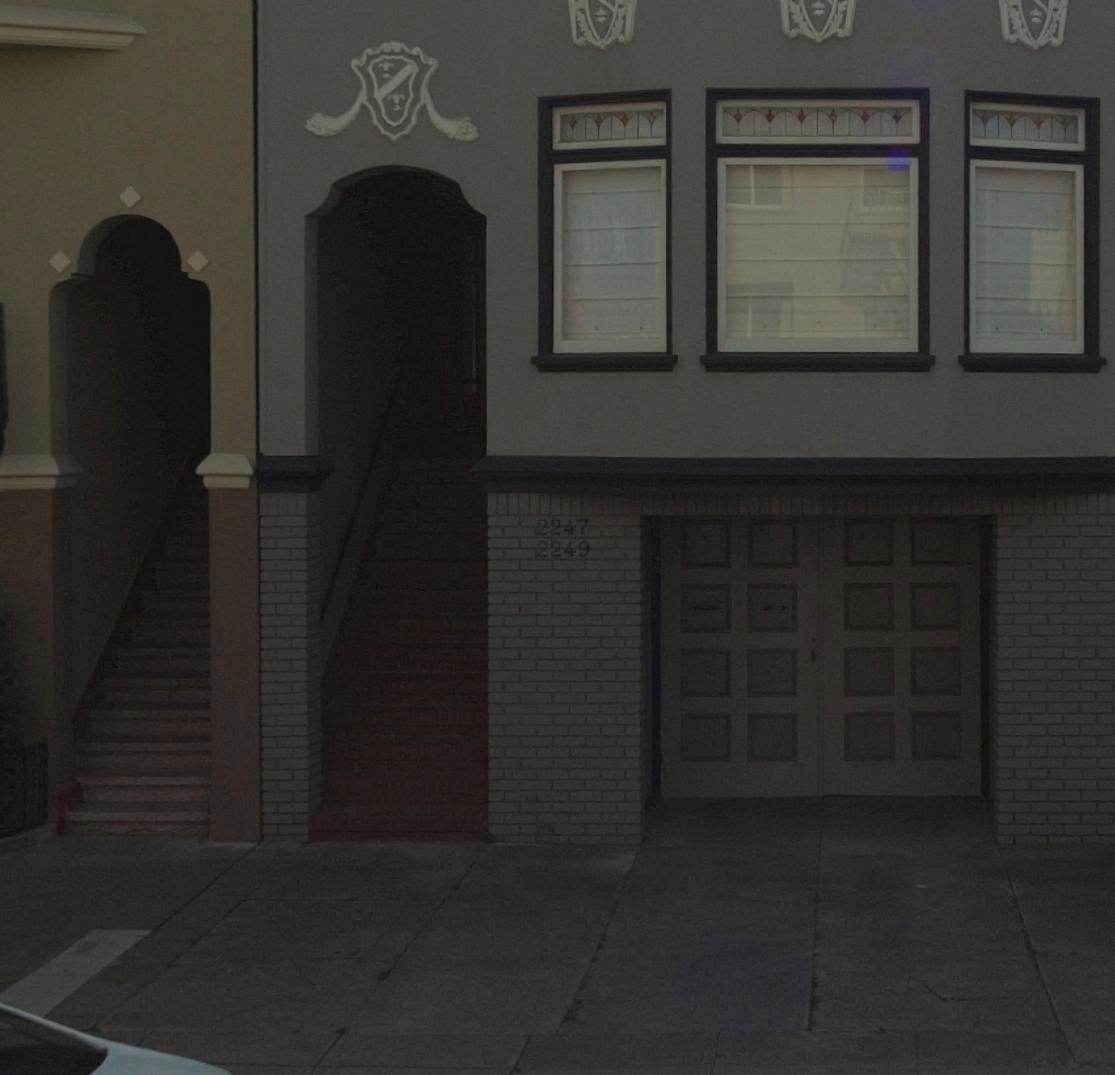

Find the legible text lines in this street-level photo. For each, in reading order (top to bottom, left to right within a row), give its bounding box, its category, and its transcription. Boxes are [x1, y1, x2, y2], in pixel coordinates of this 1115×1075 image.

[535, 517, 592, 538] StreetNumber: 2247
[534, 539, 592, 559] None: 2249